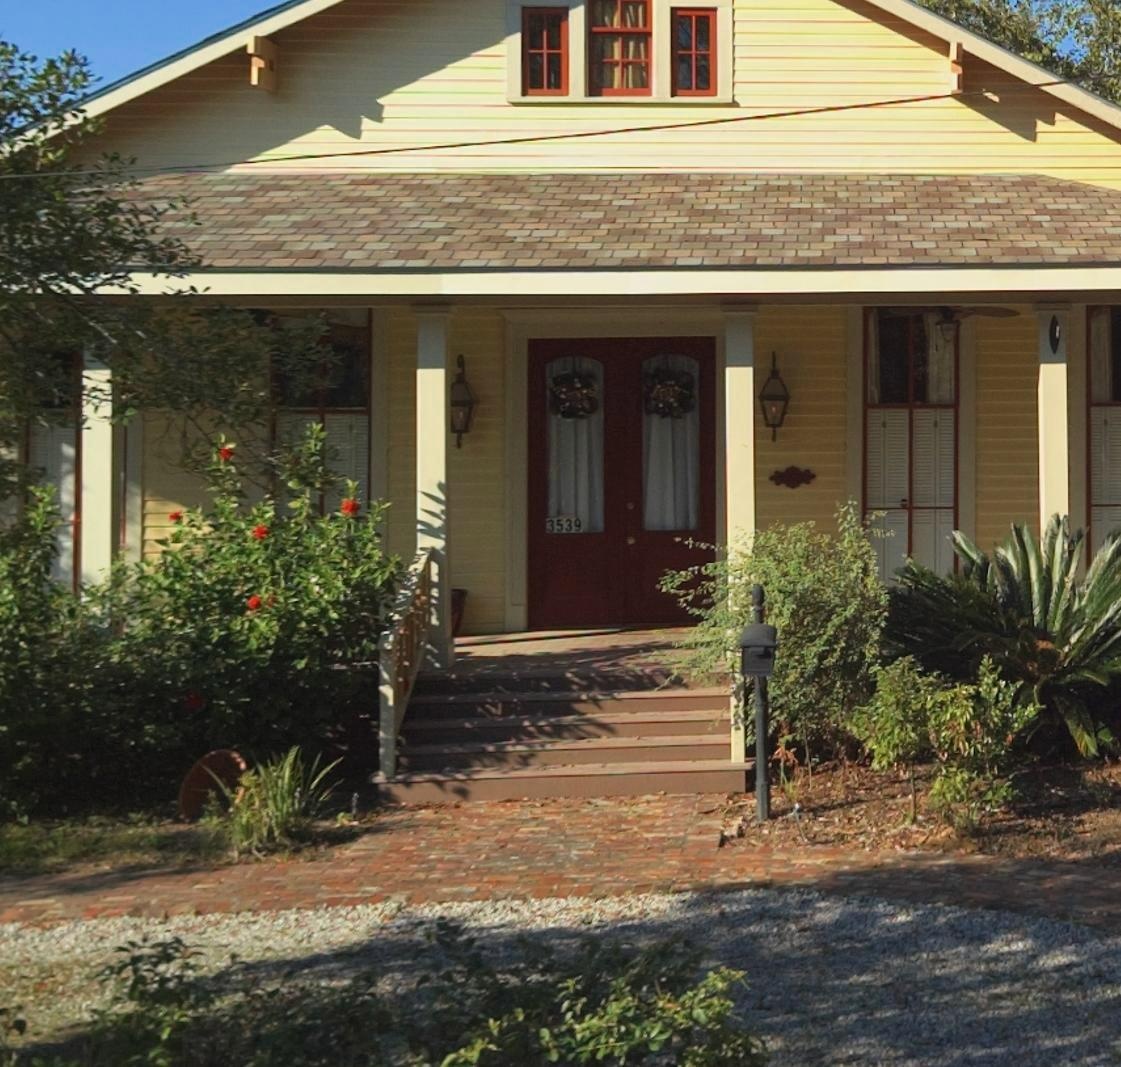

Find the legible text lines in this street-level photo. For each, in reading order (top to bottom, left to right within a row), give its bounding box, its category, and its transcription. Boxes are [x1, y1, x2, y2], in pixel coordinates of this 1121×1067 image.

[546, 516, 583, 533] StreetNumber: 3539